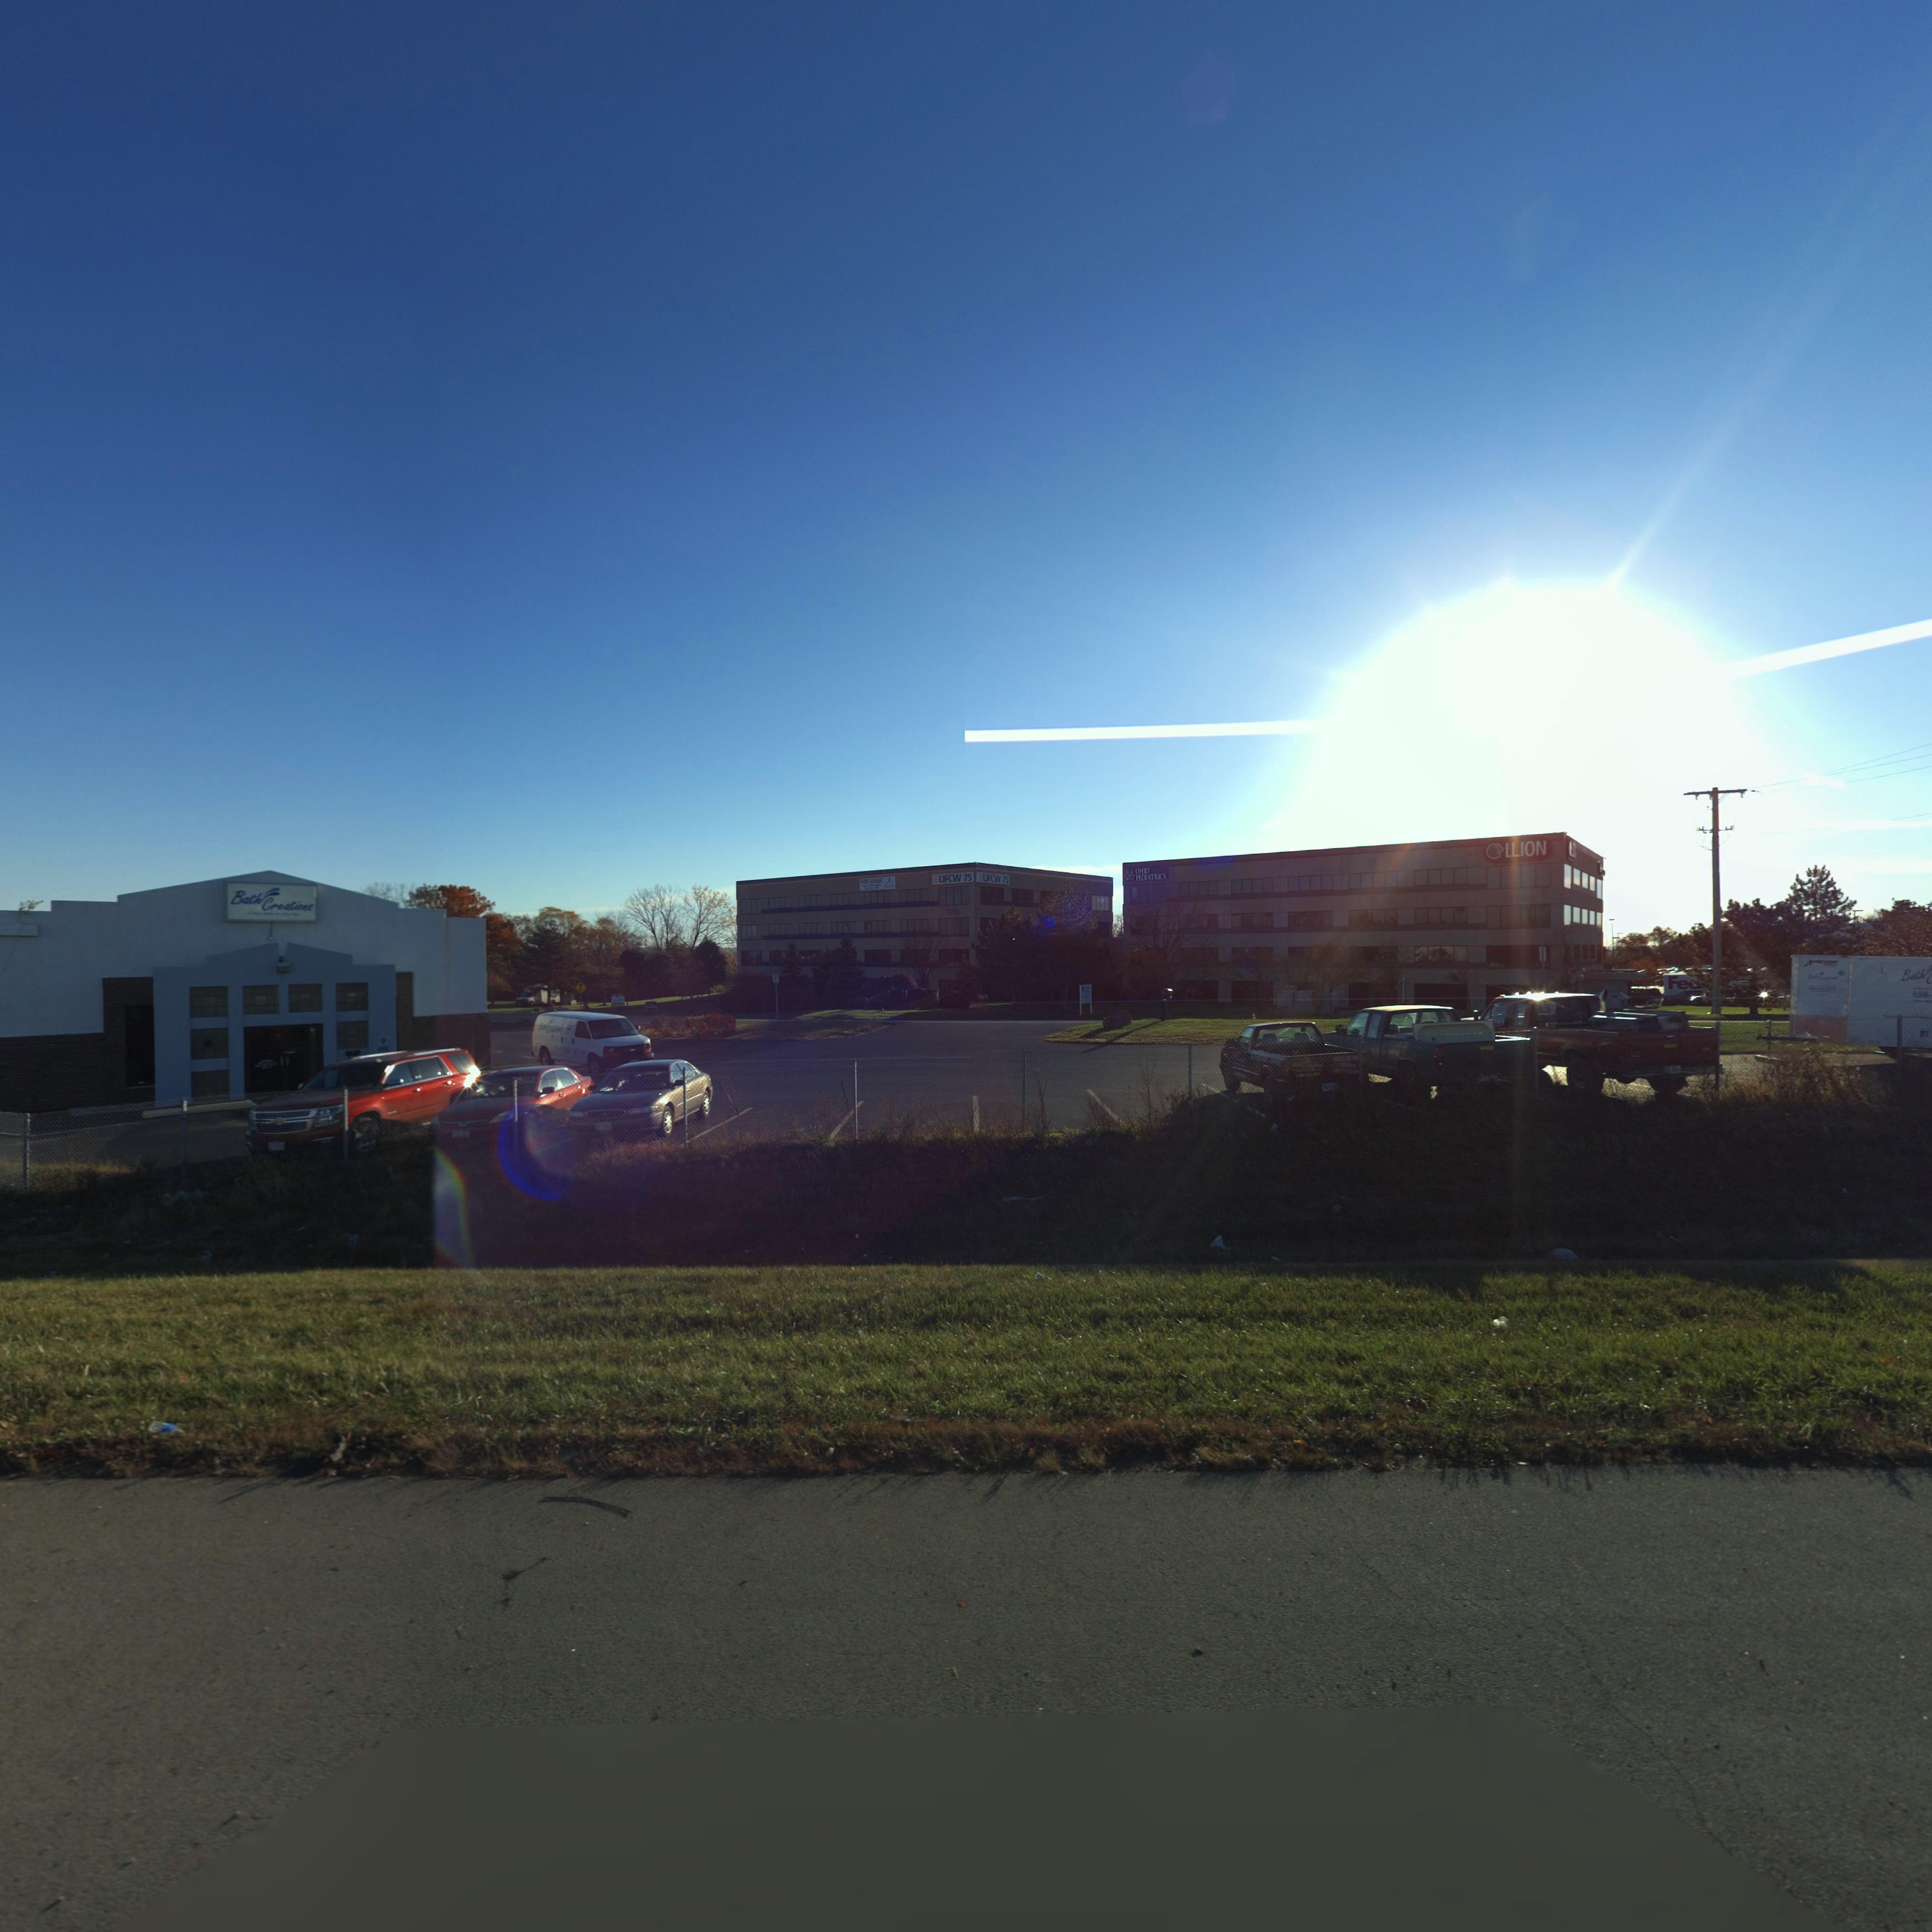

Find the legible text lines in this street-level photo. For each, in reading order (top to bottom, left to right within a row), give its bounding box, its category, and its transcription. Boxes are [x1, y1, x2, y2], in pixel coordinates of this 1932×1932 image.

[1509, 839, 1548, 859] BusinessName: LION
[1134, 867, 1151, 875] None: OHIO
[860, 877, 884, 885] None: FOR LEASE
[937, 873, 973, 883] None: UFCW 75
[981, 871, 1010, 885] None: UFCW 75
[1134, 872, 1169, 882] None: PEDIATRICS
[227, 887, 316, 914] None: Bath Creations
[1499, 894, 1536, 904] StreetNumber: 7*200
[946, 908, 960, 916] StreetNumber: 7250
[1901, 968, 1926, 982] BusinessName: Bath
[1912, 990, 1929, 999] None: 888